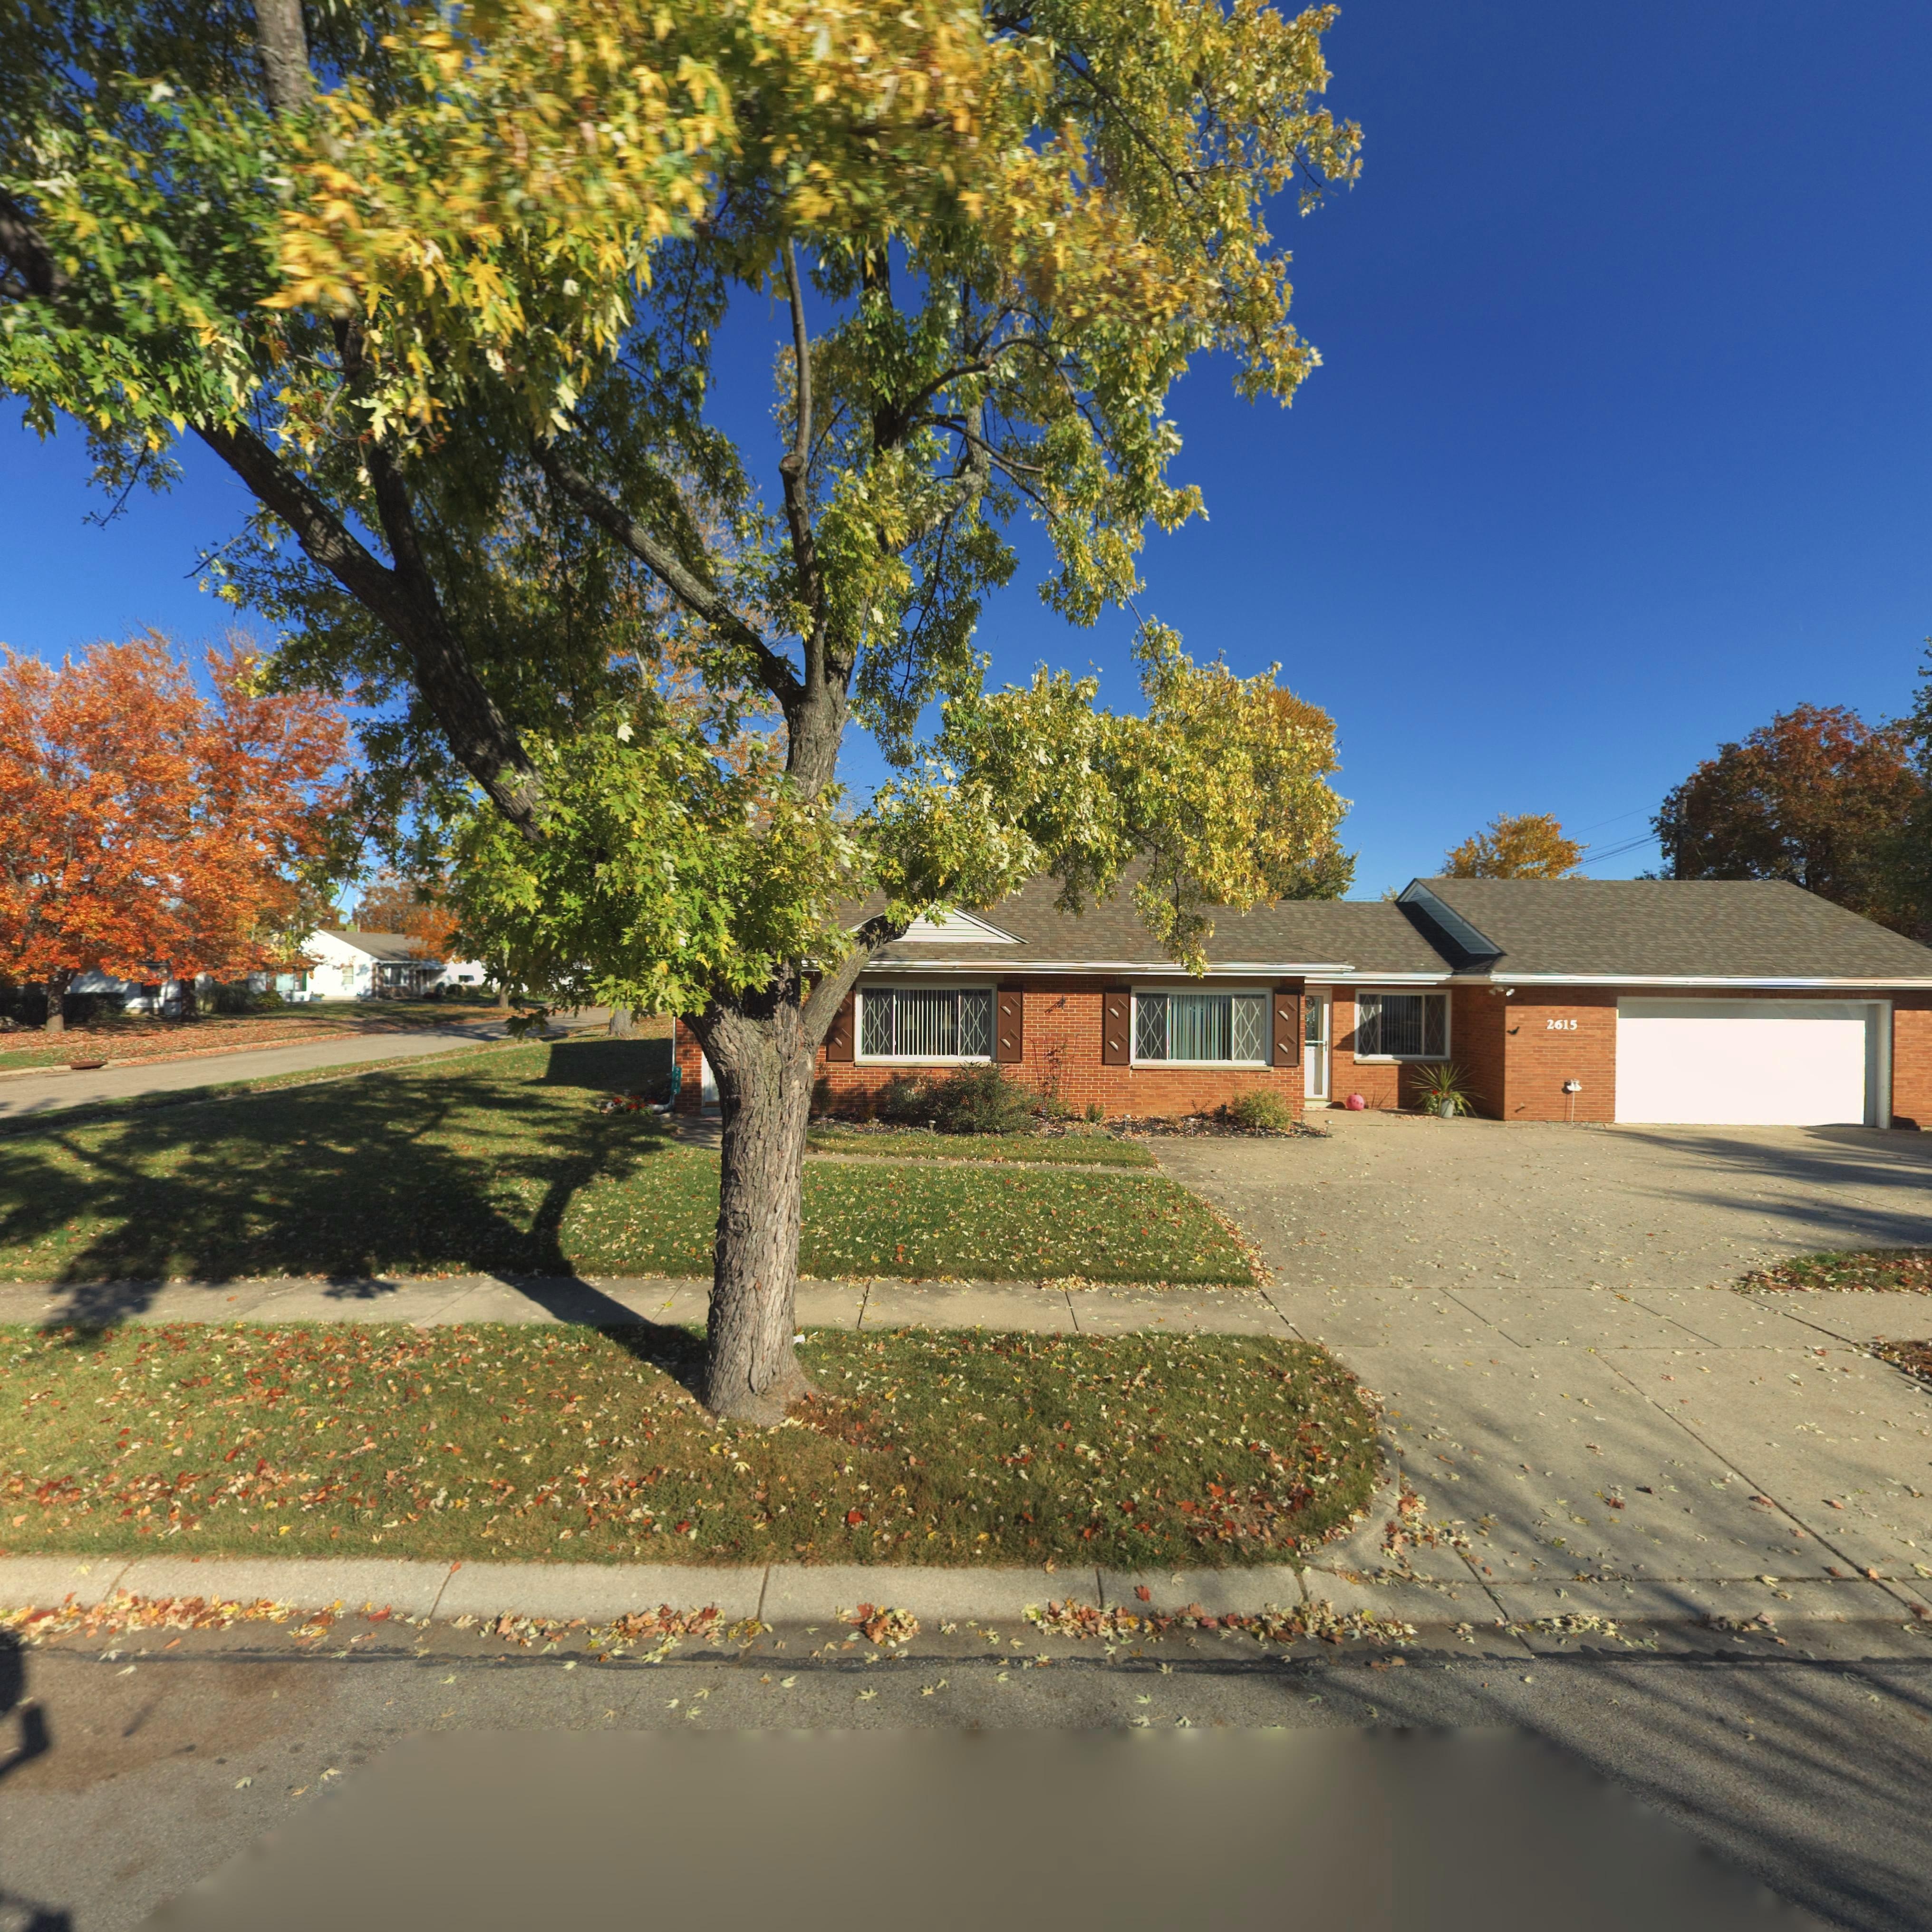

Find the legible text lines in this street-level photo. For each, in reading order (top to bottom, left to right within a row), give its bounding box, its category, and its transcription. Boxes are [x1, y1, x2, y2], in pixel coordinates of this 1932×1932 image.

[1546, 1018, 1578, 1030] StreetNumber: 2615
[672, 1068, 680, 1095] StreetNumber: 2615